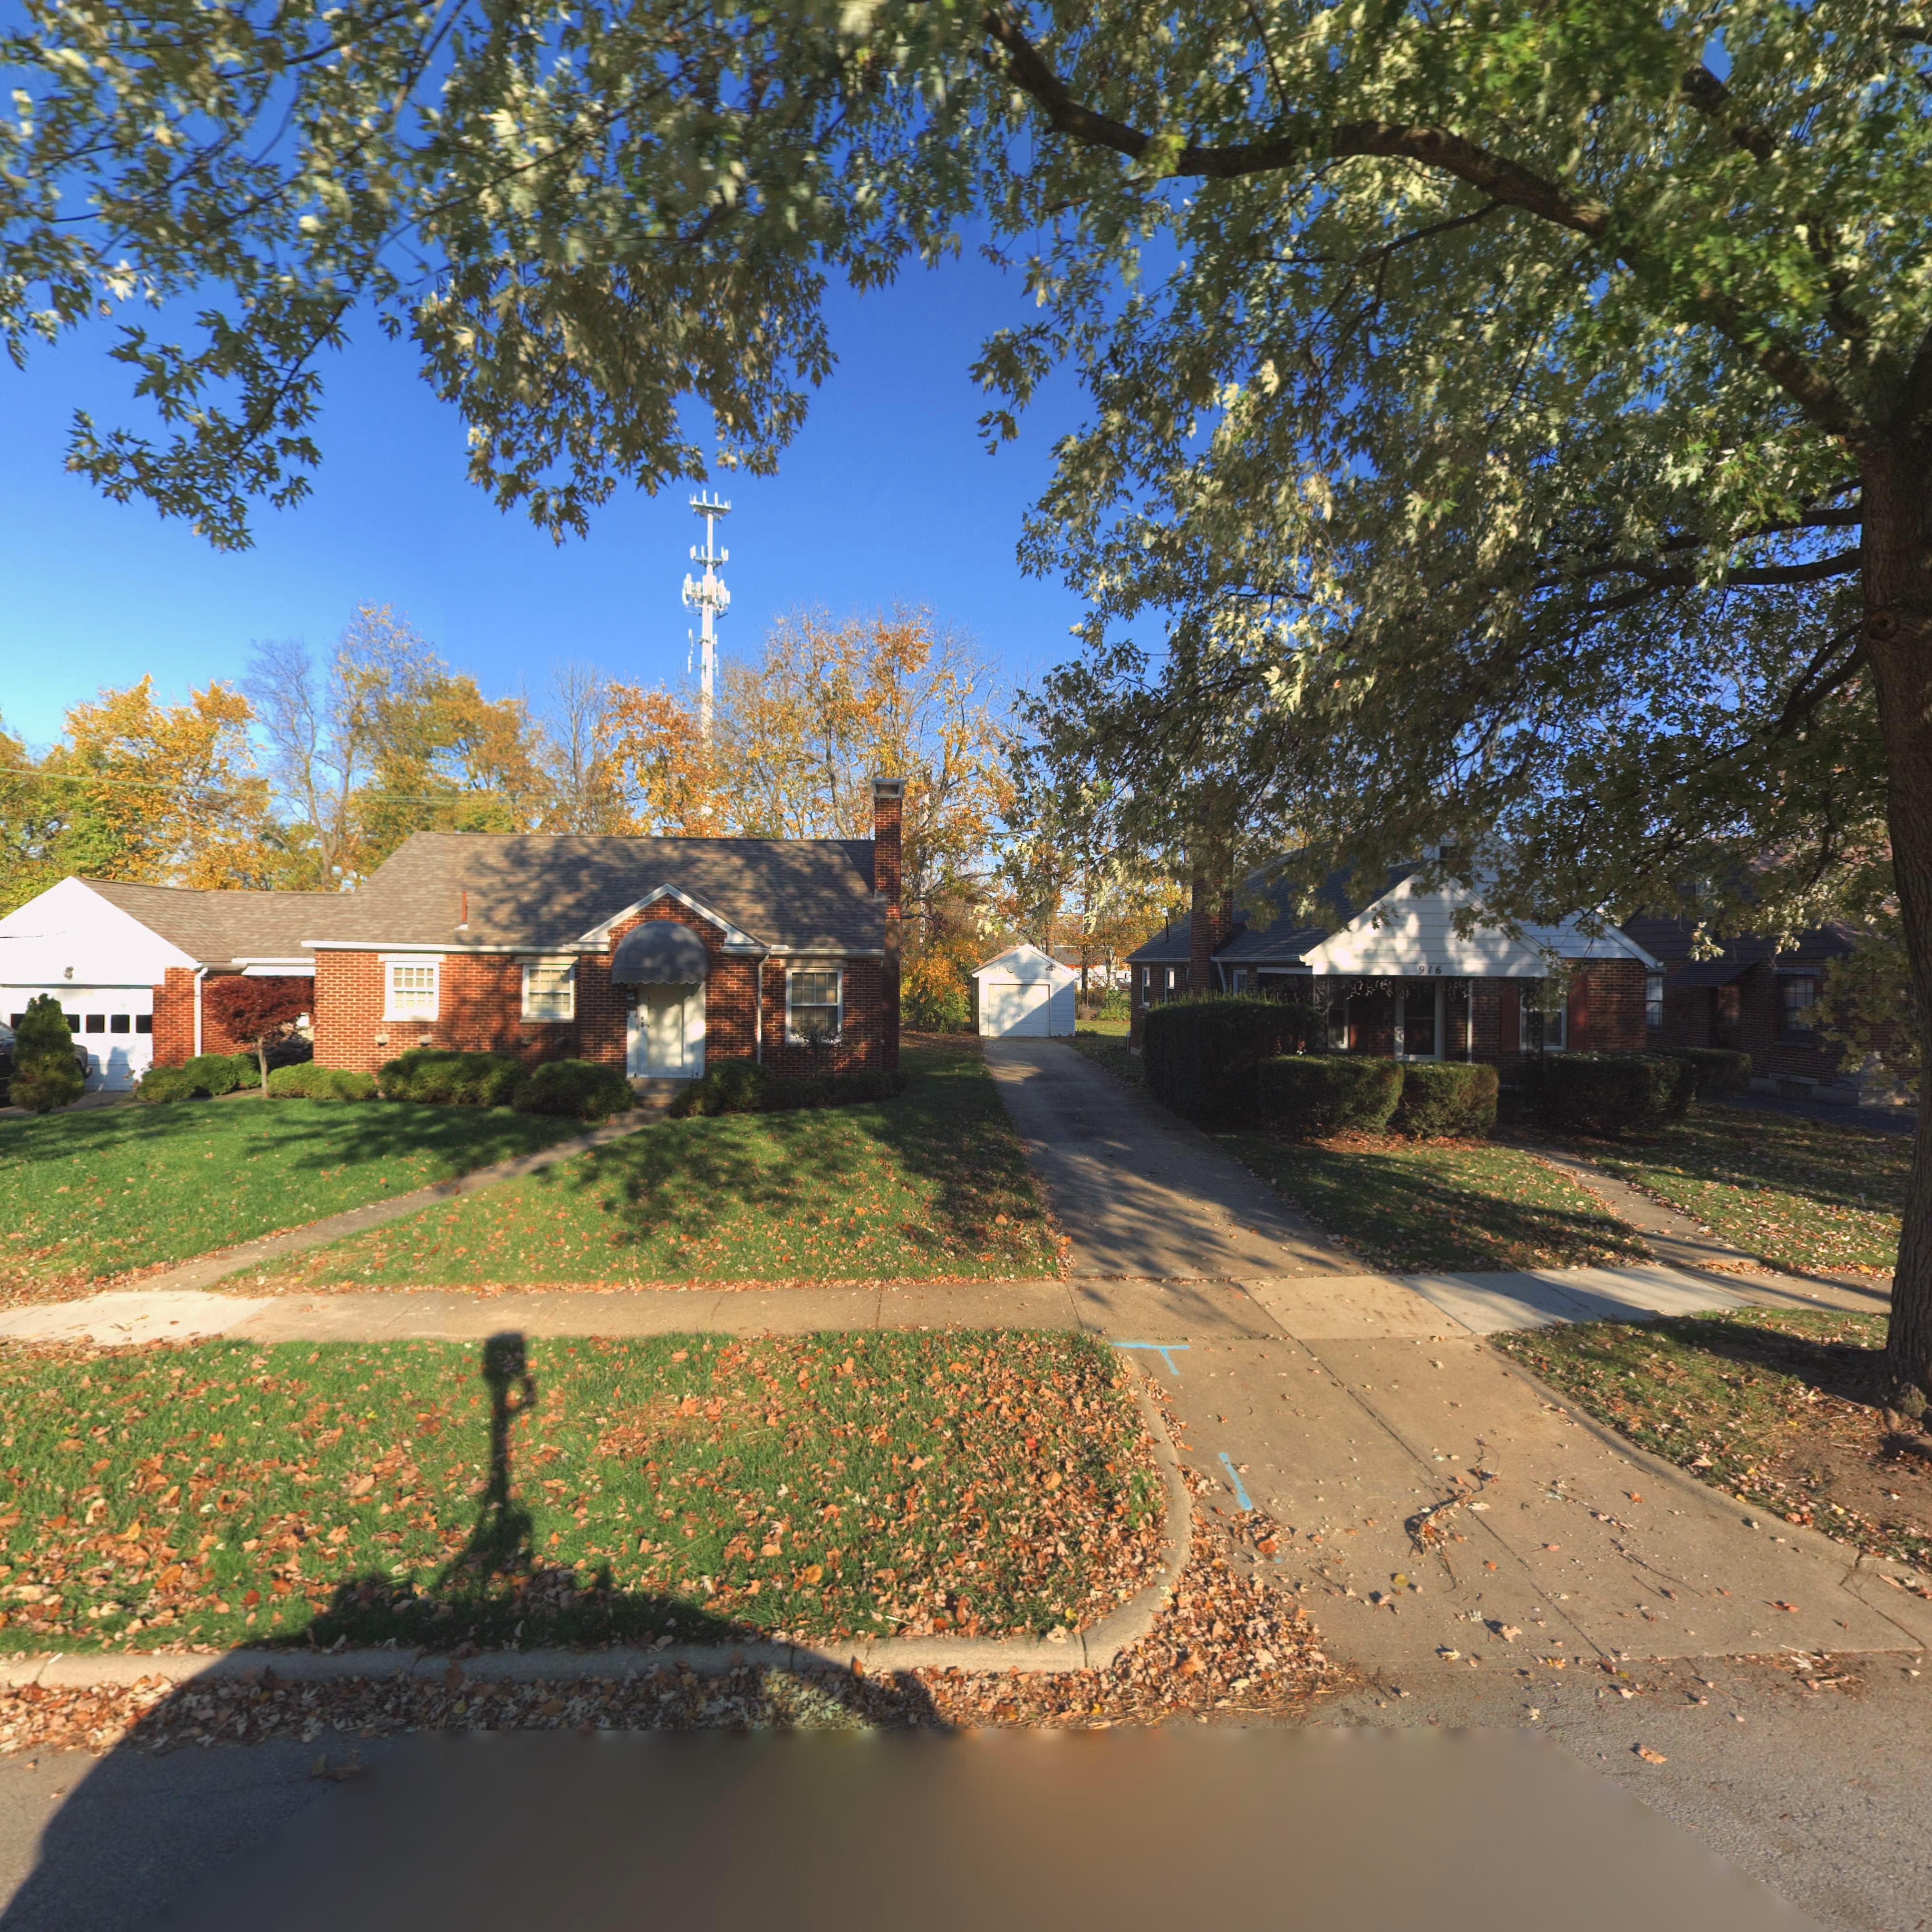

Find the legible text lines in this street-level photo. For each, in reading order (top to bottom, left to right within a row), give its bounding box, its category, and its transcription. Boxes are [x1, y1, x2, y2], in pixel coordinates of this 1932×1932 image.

[1417, 964, 1443, 975] StreetNumber: 916